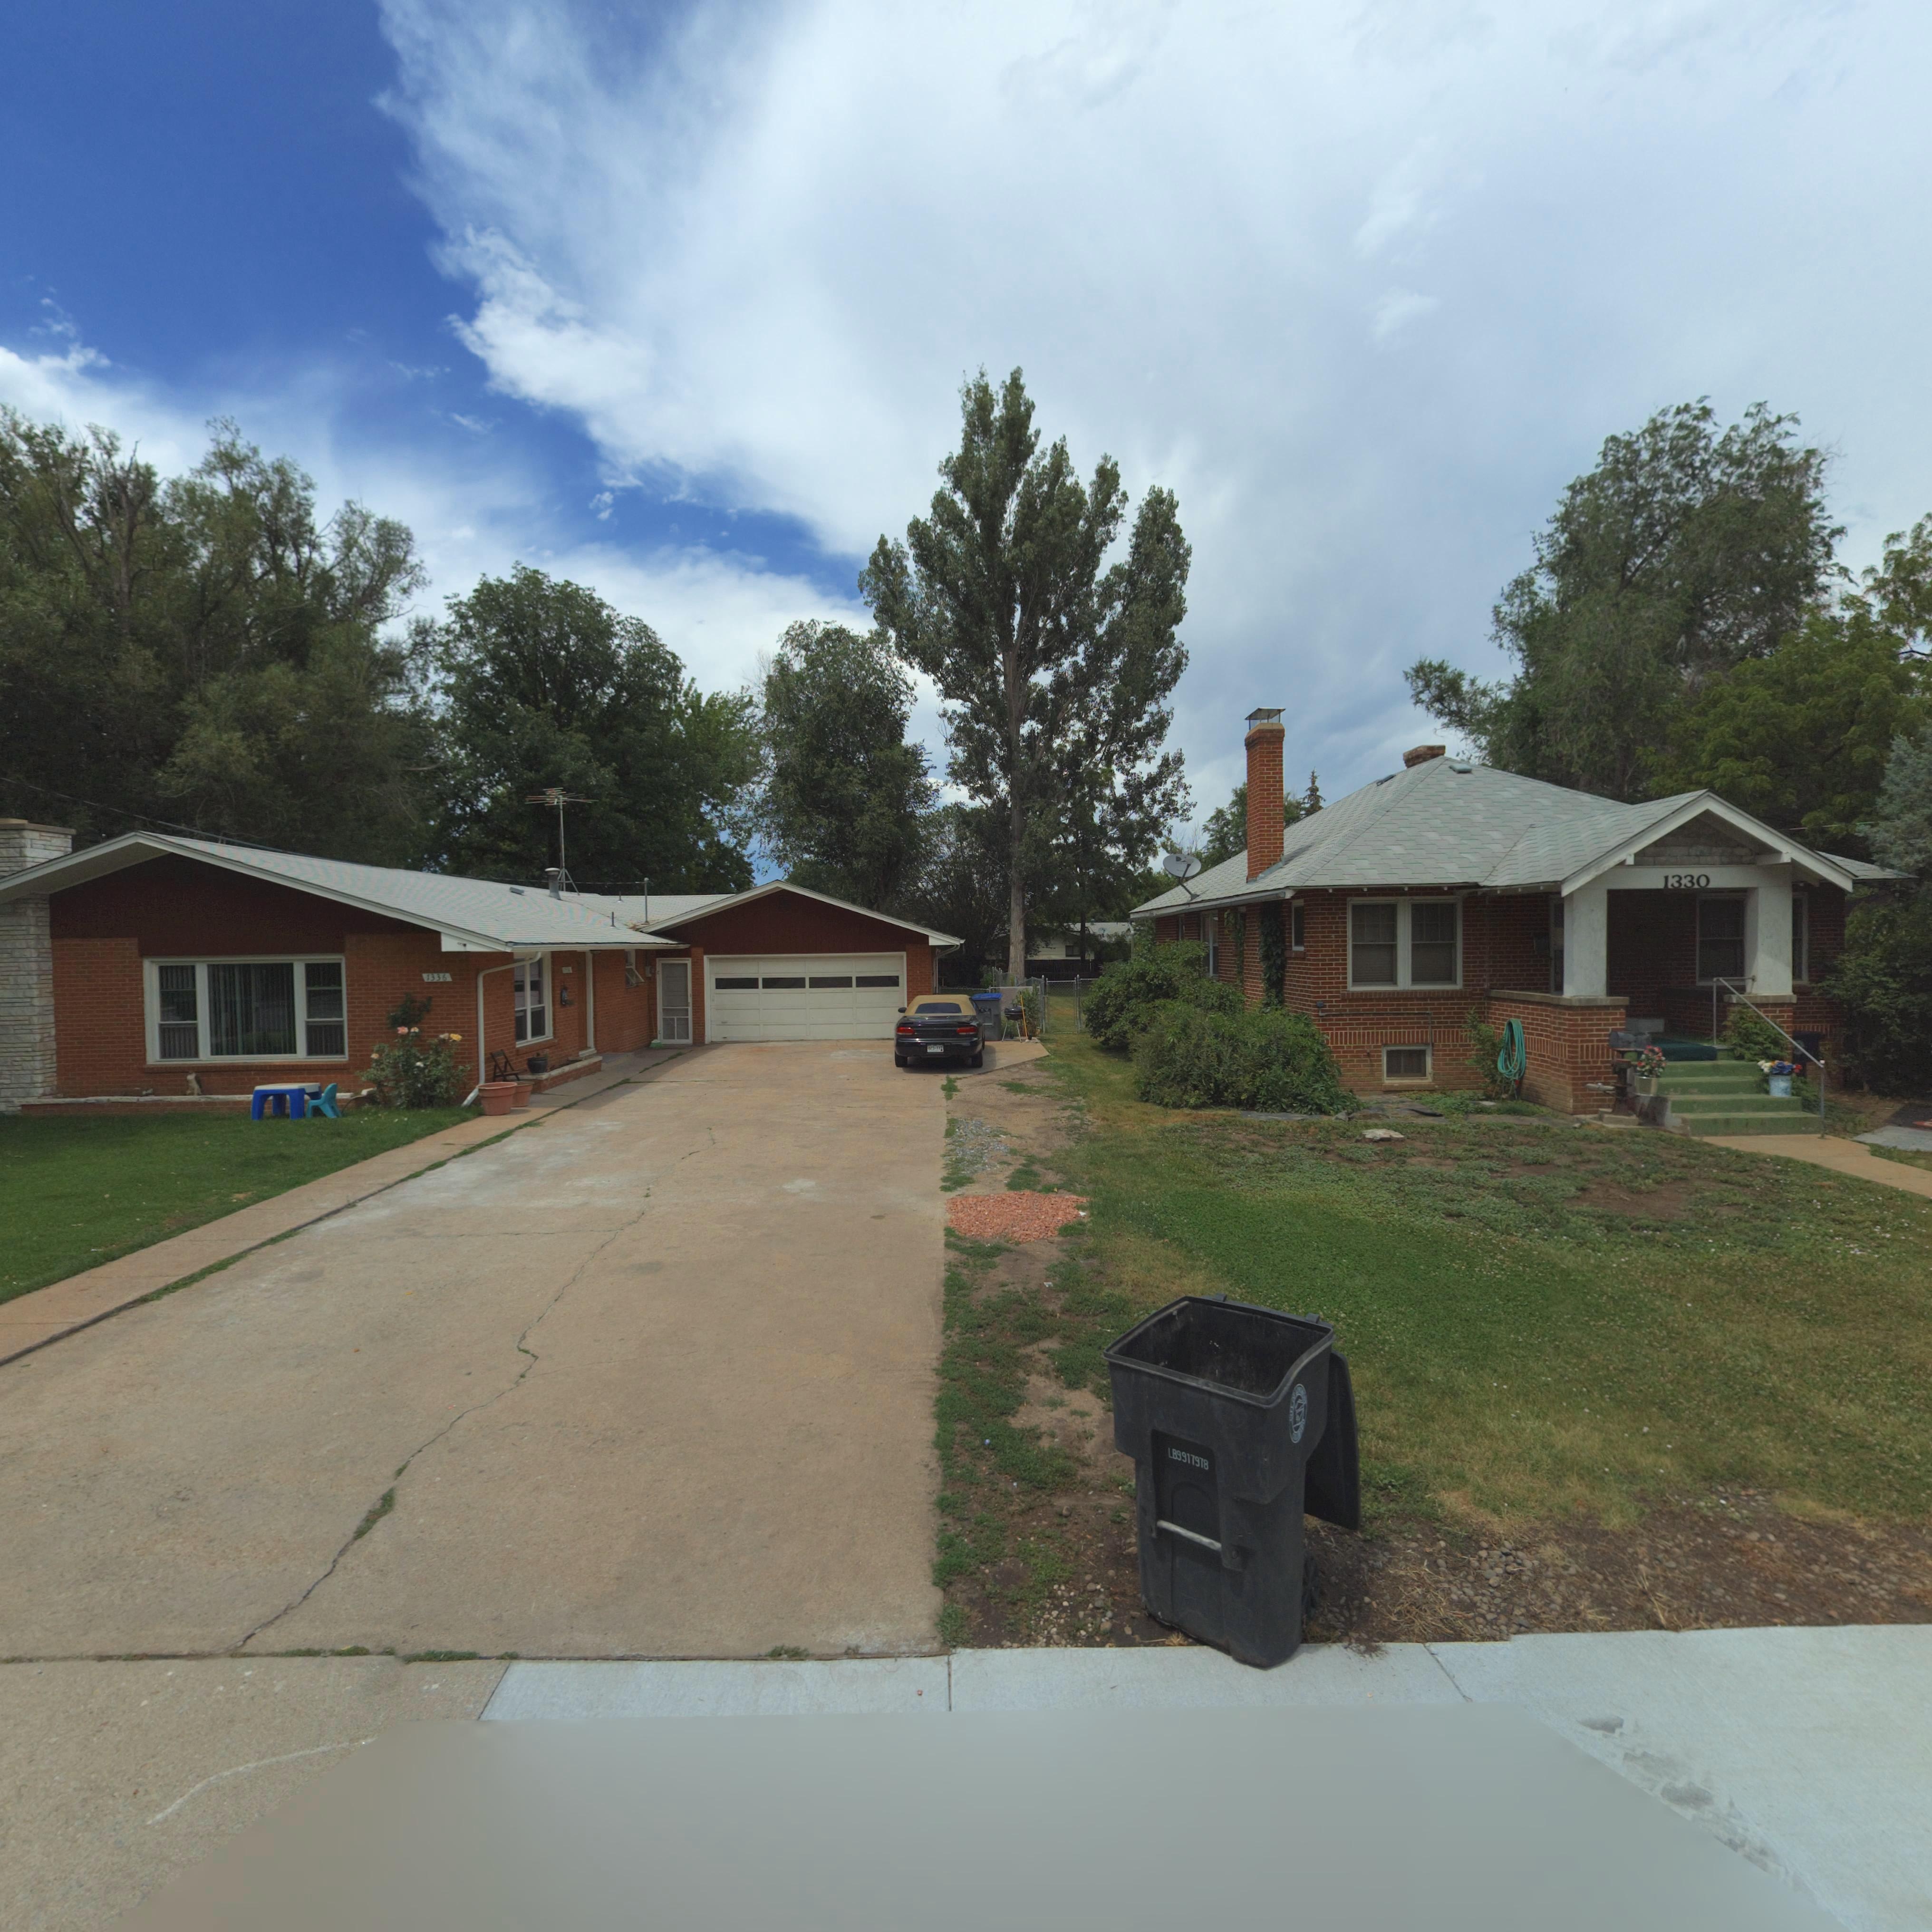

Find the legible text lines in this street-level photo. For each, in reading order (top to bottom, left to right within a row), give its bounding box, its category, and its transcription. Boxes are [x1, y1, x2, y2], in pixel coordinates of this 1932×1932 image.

[1663, 873, 1710, 889] StreetNumber: 1330
[426, 973, 448, 982] StreetNumber: 1336